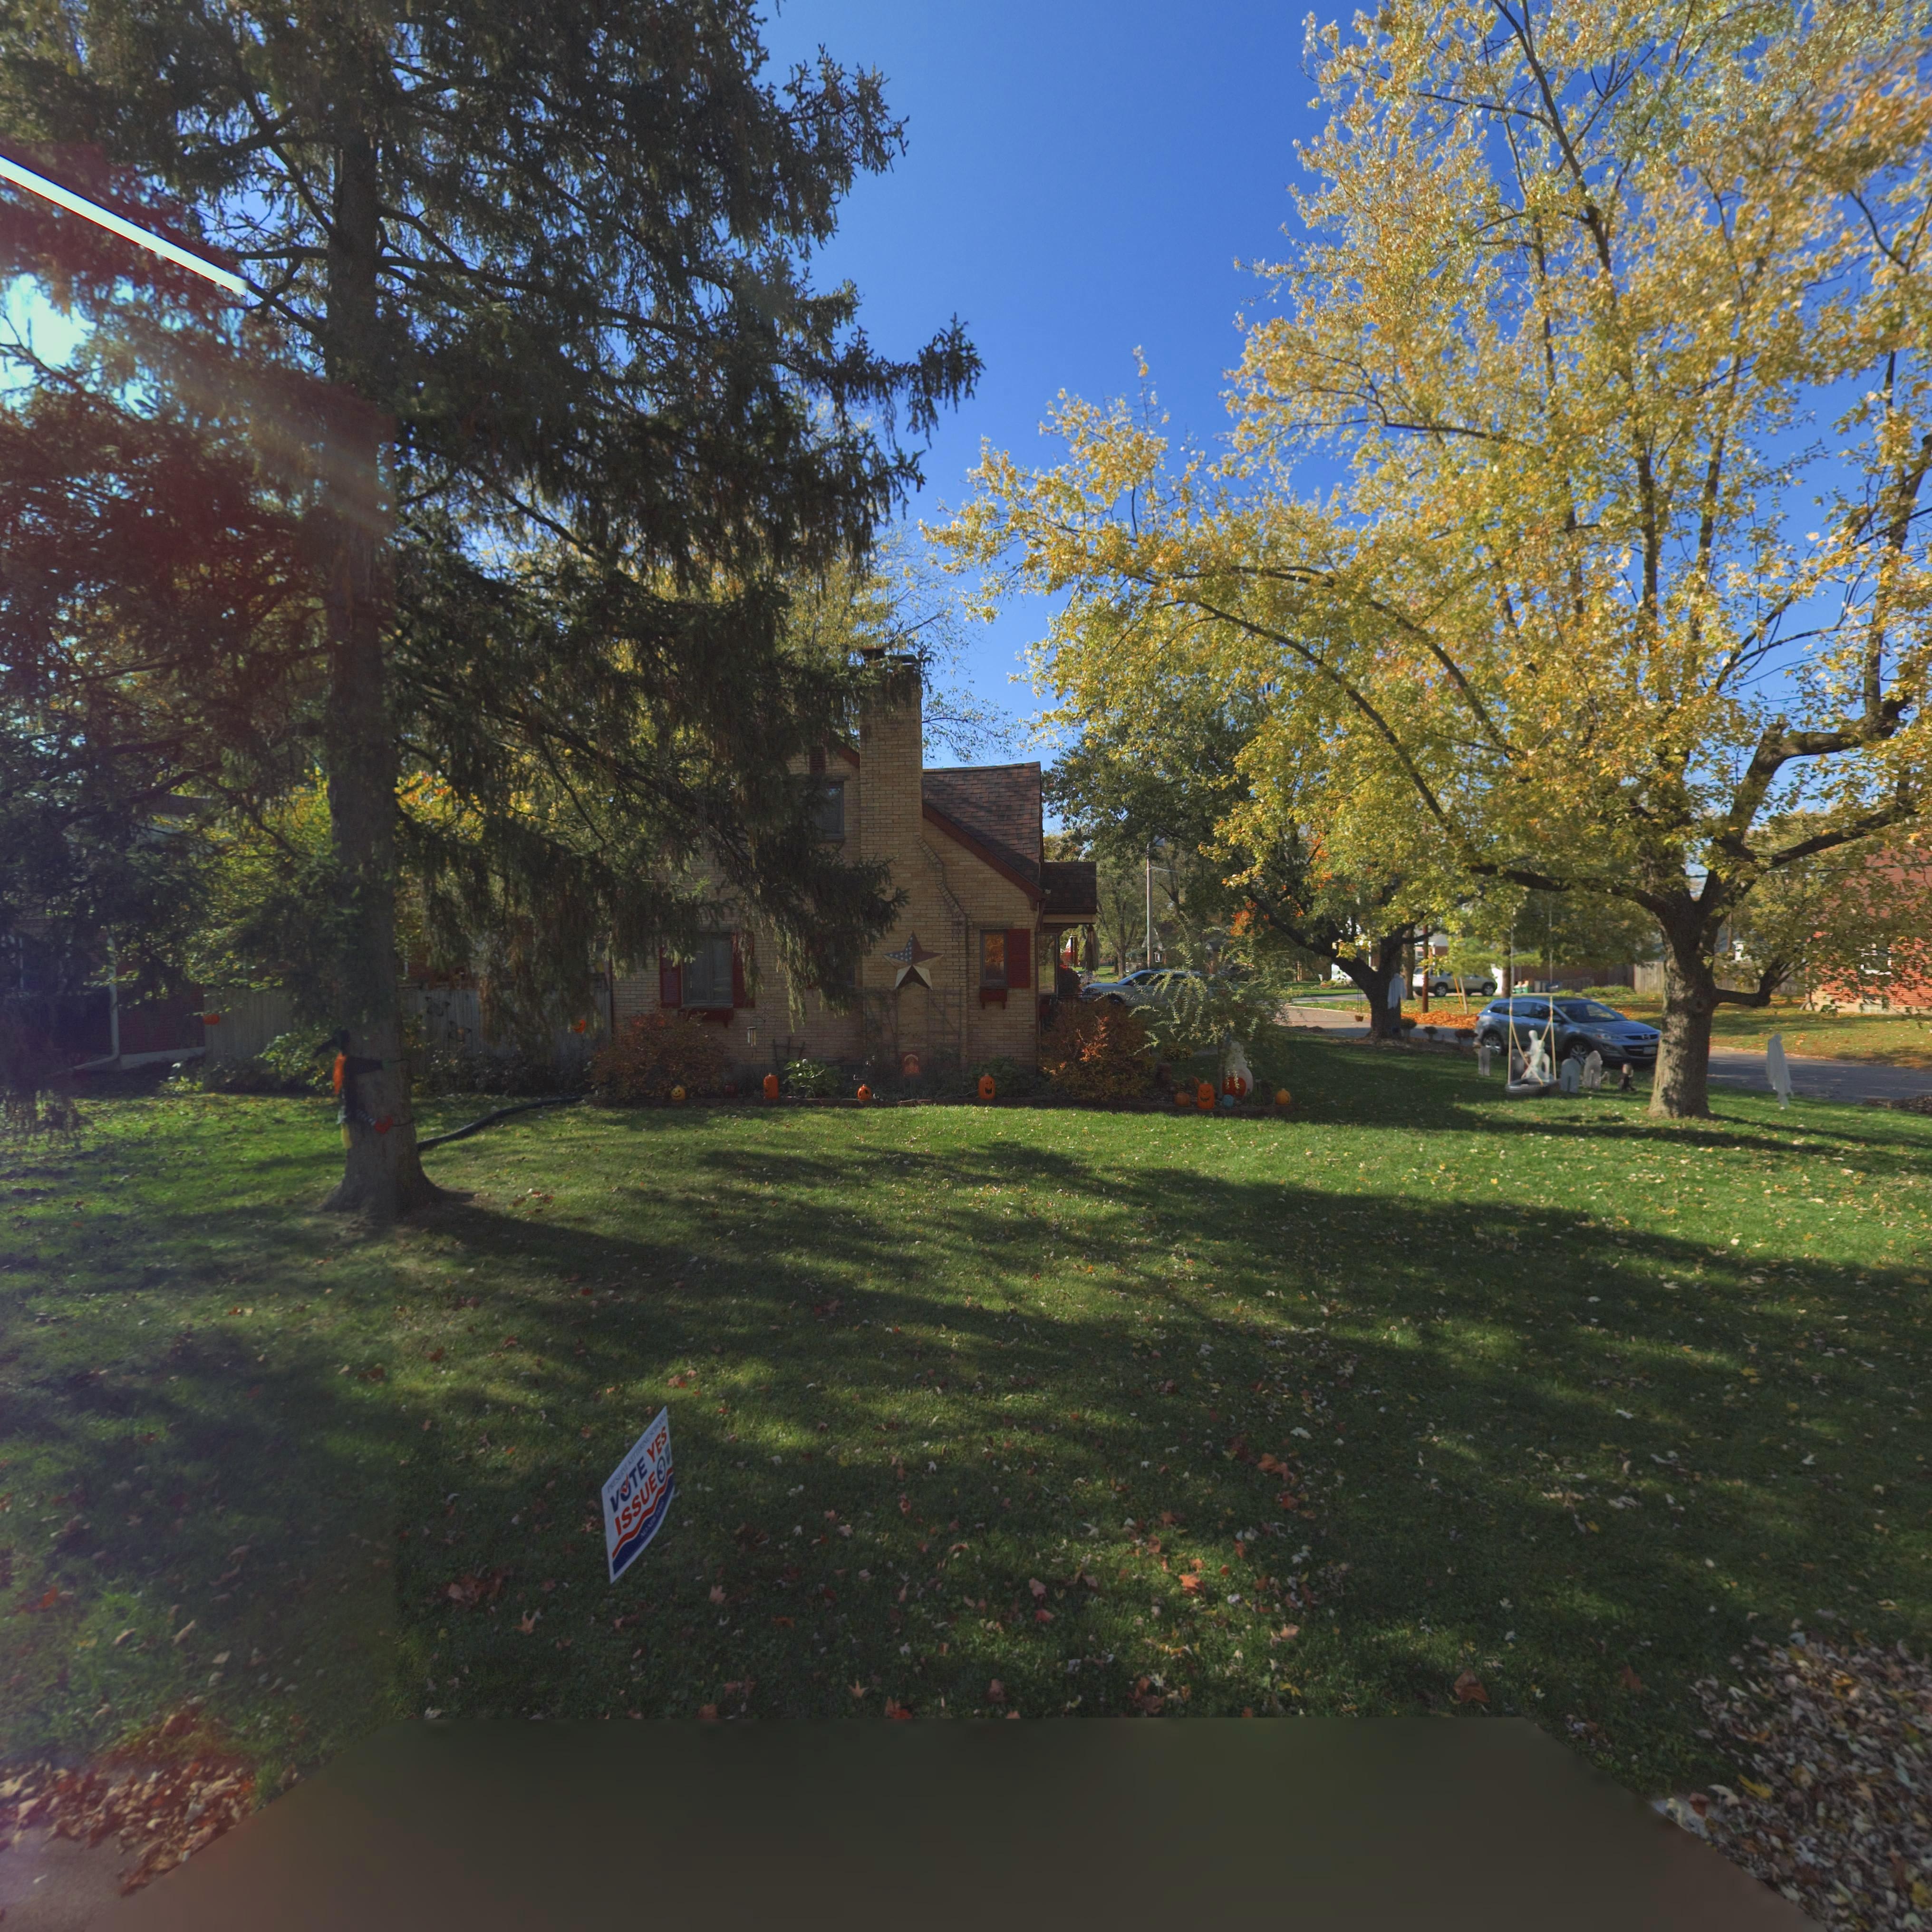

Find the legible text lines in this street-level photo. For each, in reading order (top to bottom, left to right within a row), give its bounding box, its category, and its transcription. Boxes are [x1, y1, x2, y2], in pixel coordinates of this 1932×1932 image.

[607, 1421, 668, 1516] None: VOTE YES
[614, 1454, 667, 1539] None: ISSUE 3